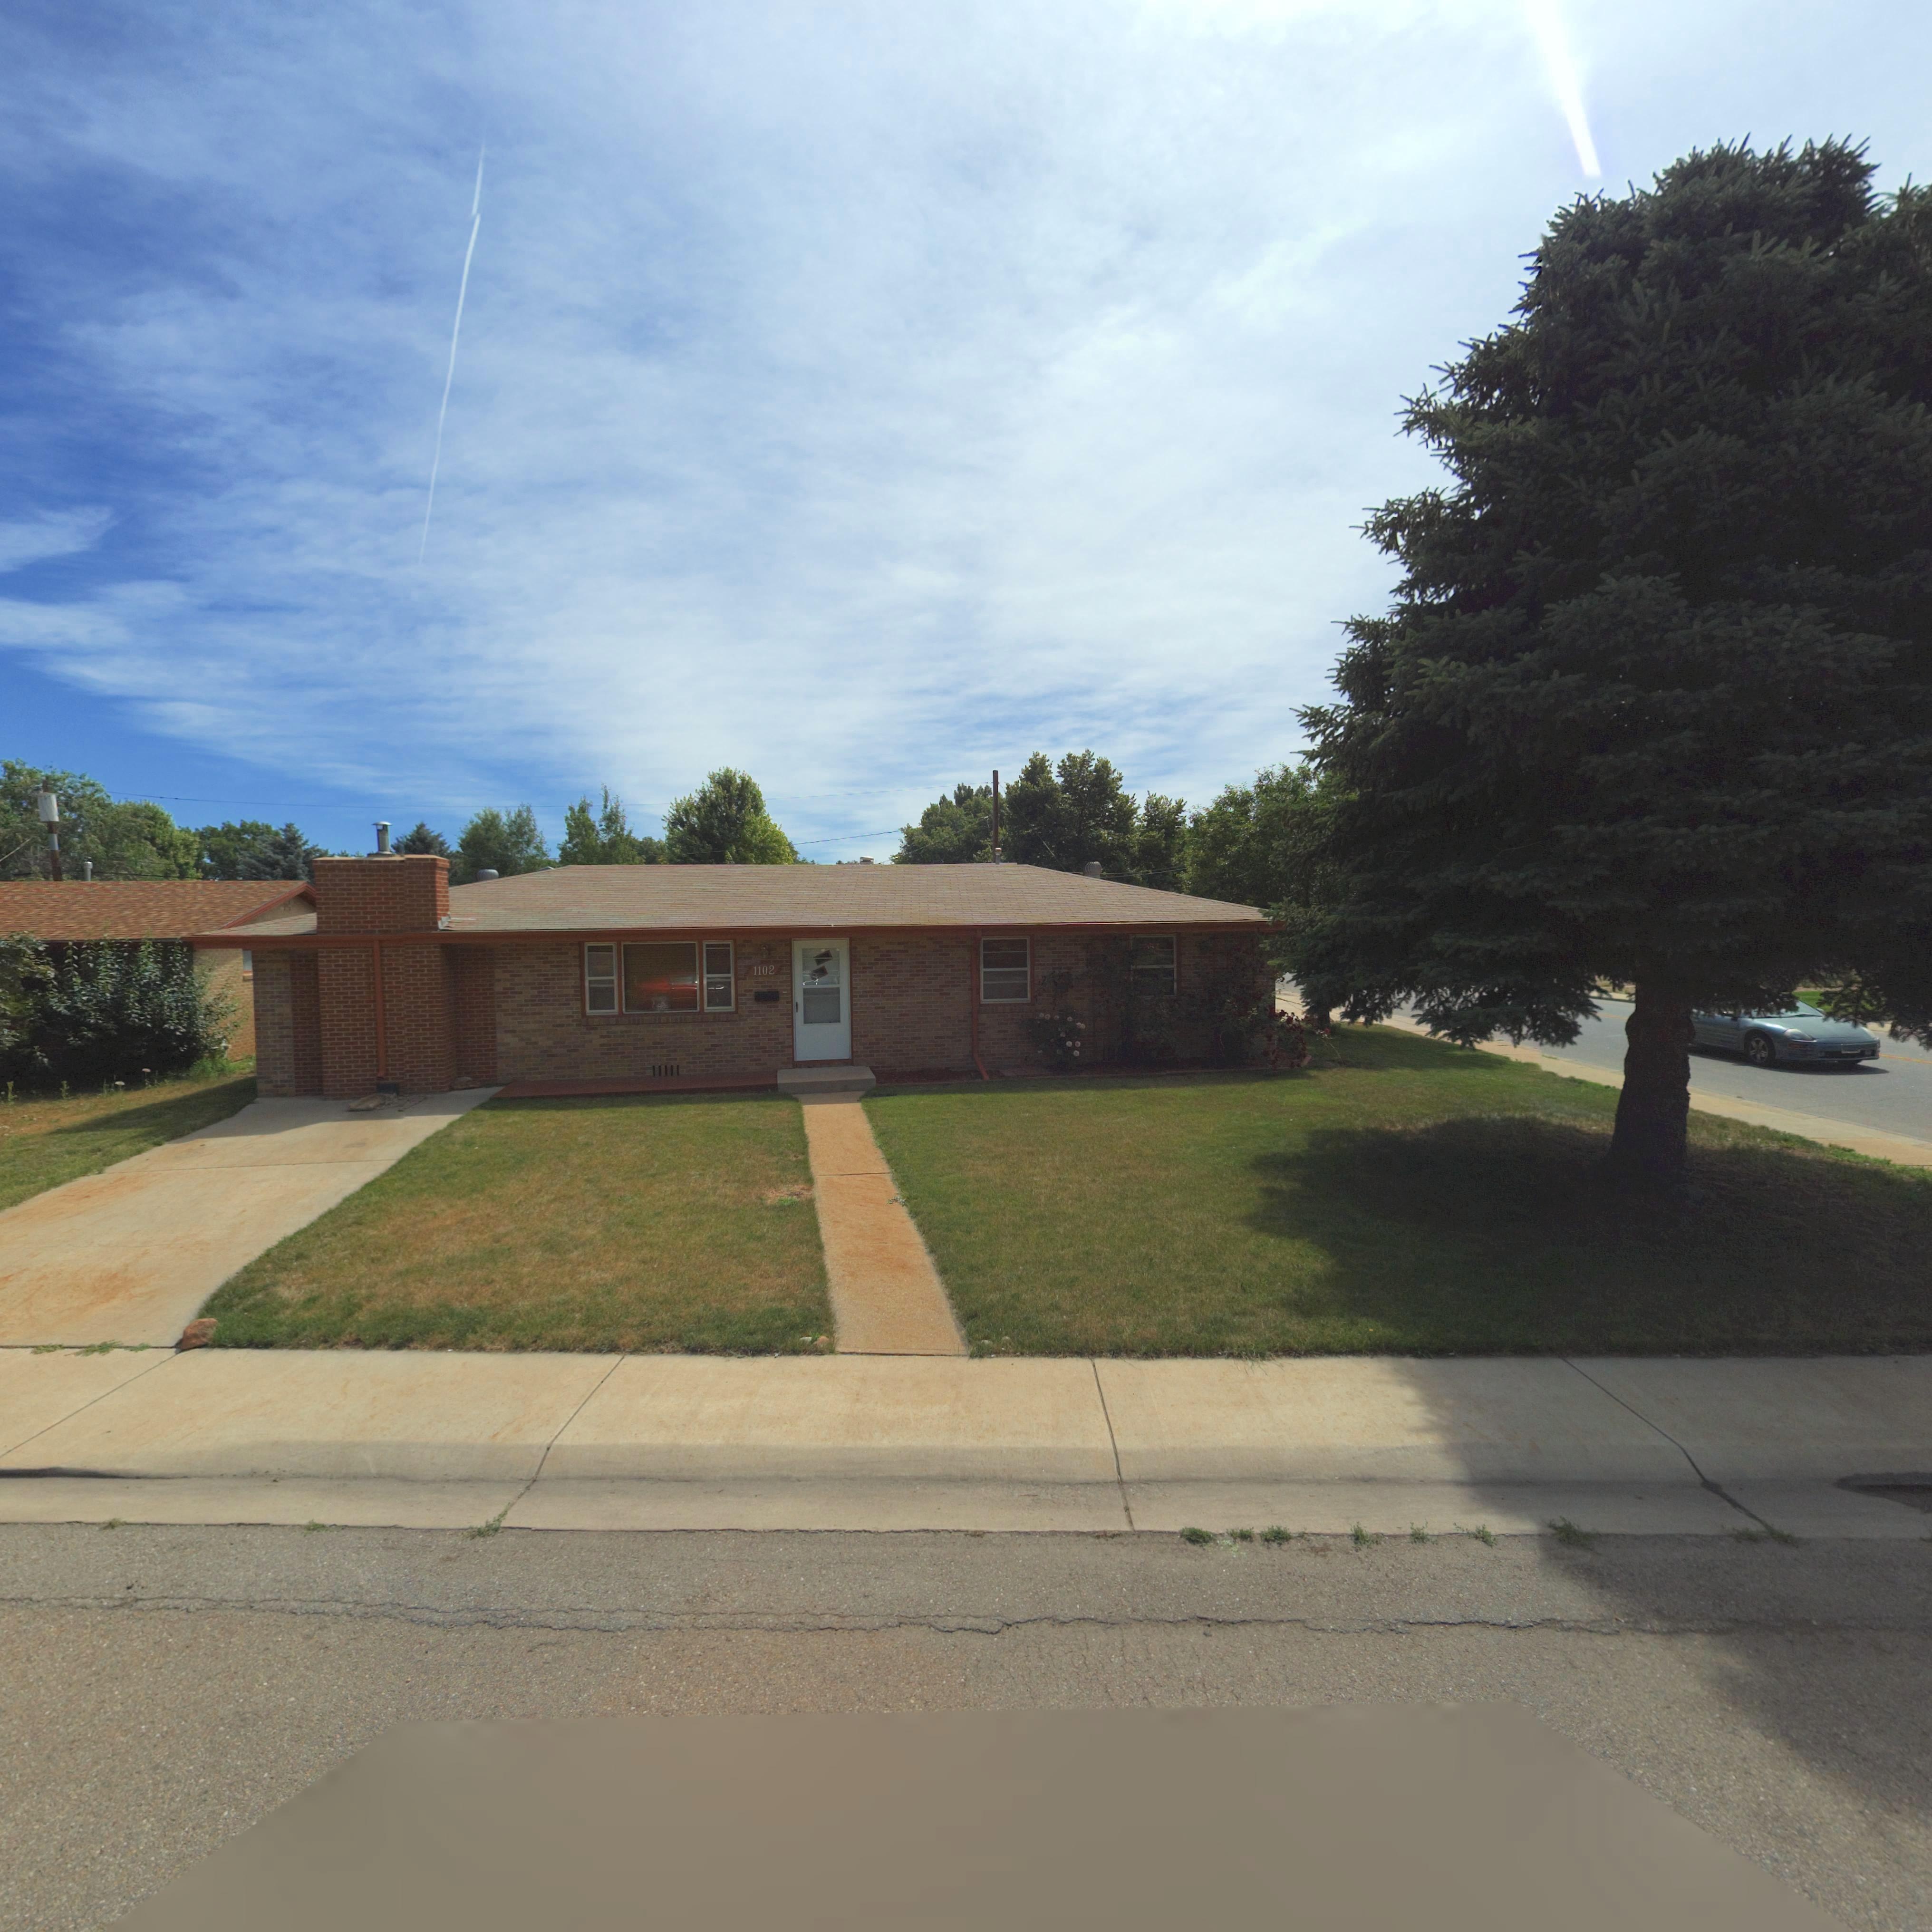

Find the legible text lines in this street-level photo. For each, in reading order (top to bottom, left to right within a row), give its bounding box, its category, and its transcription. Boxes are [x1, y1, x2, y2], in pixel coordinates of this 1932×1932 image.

[753, 965, 775, 975] StreetNumber: 1102